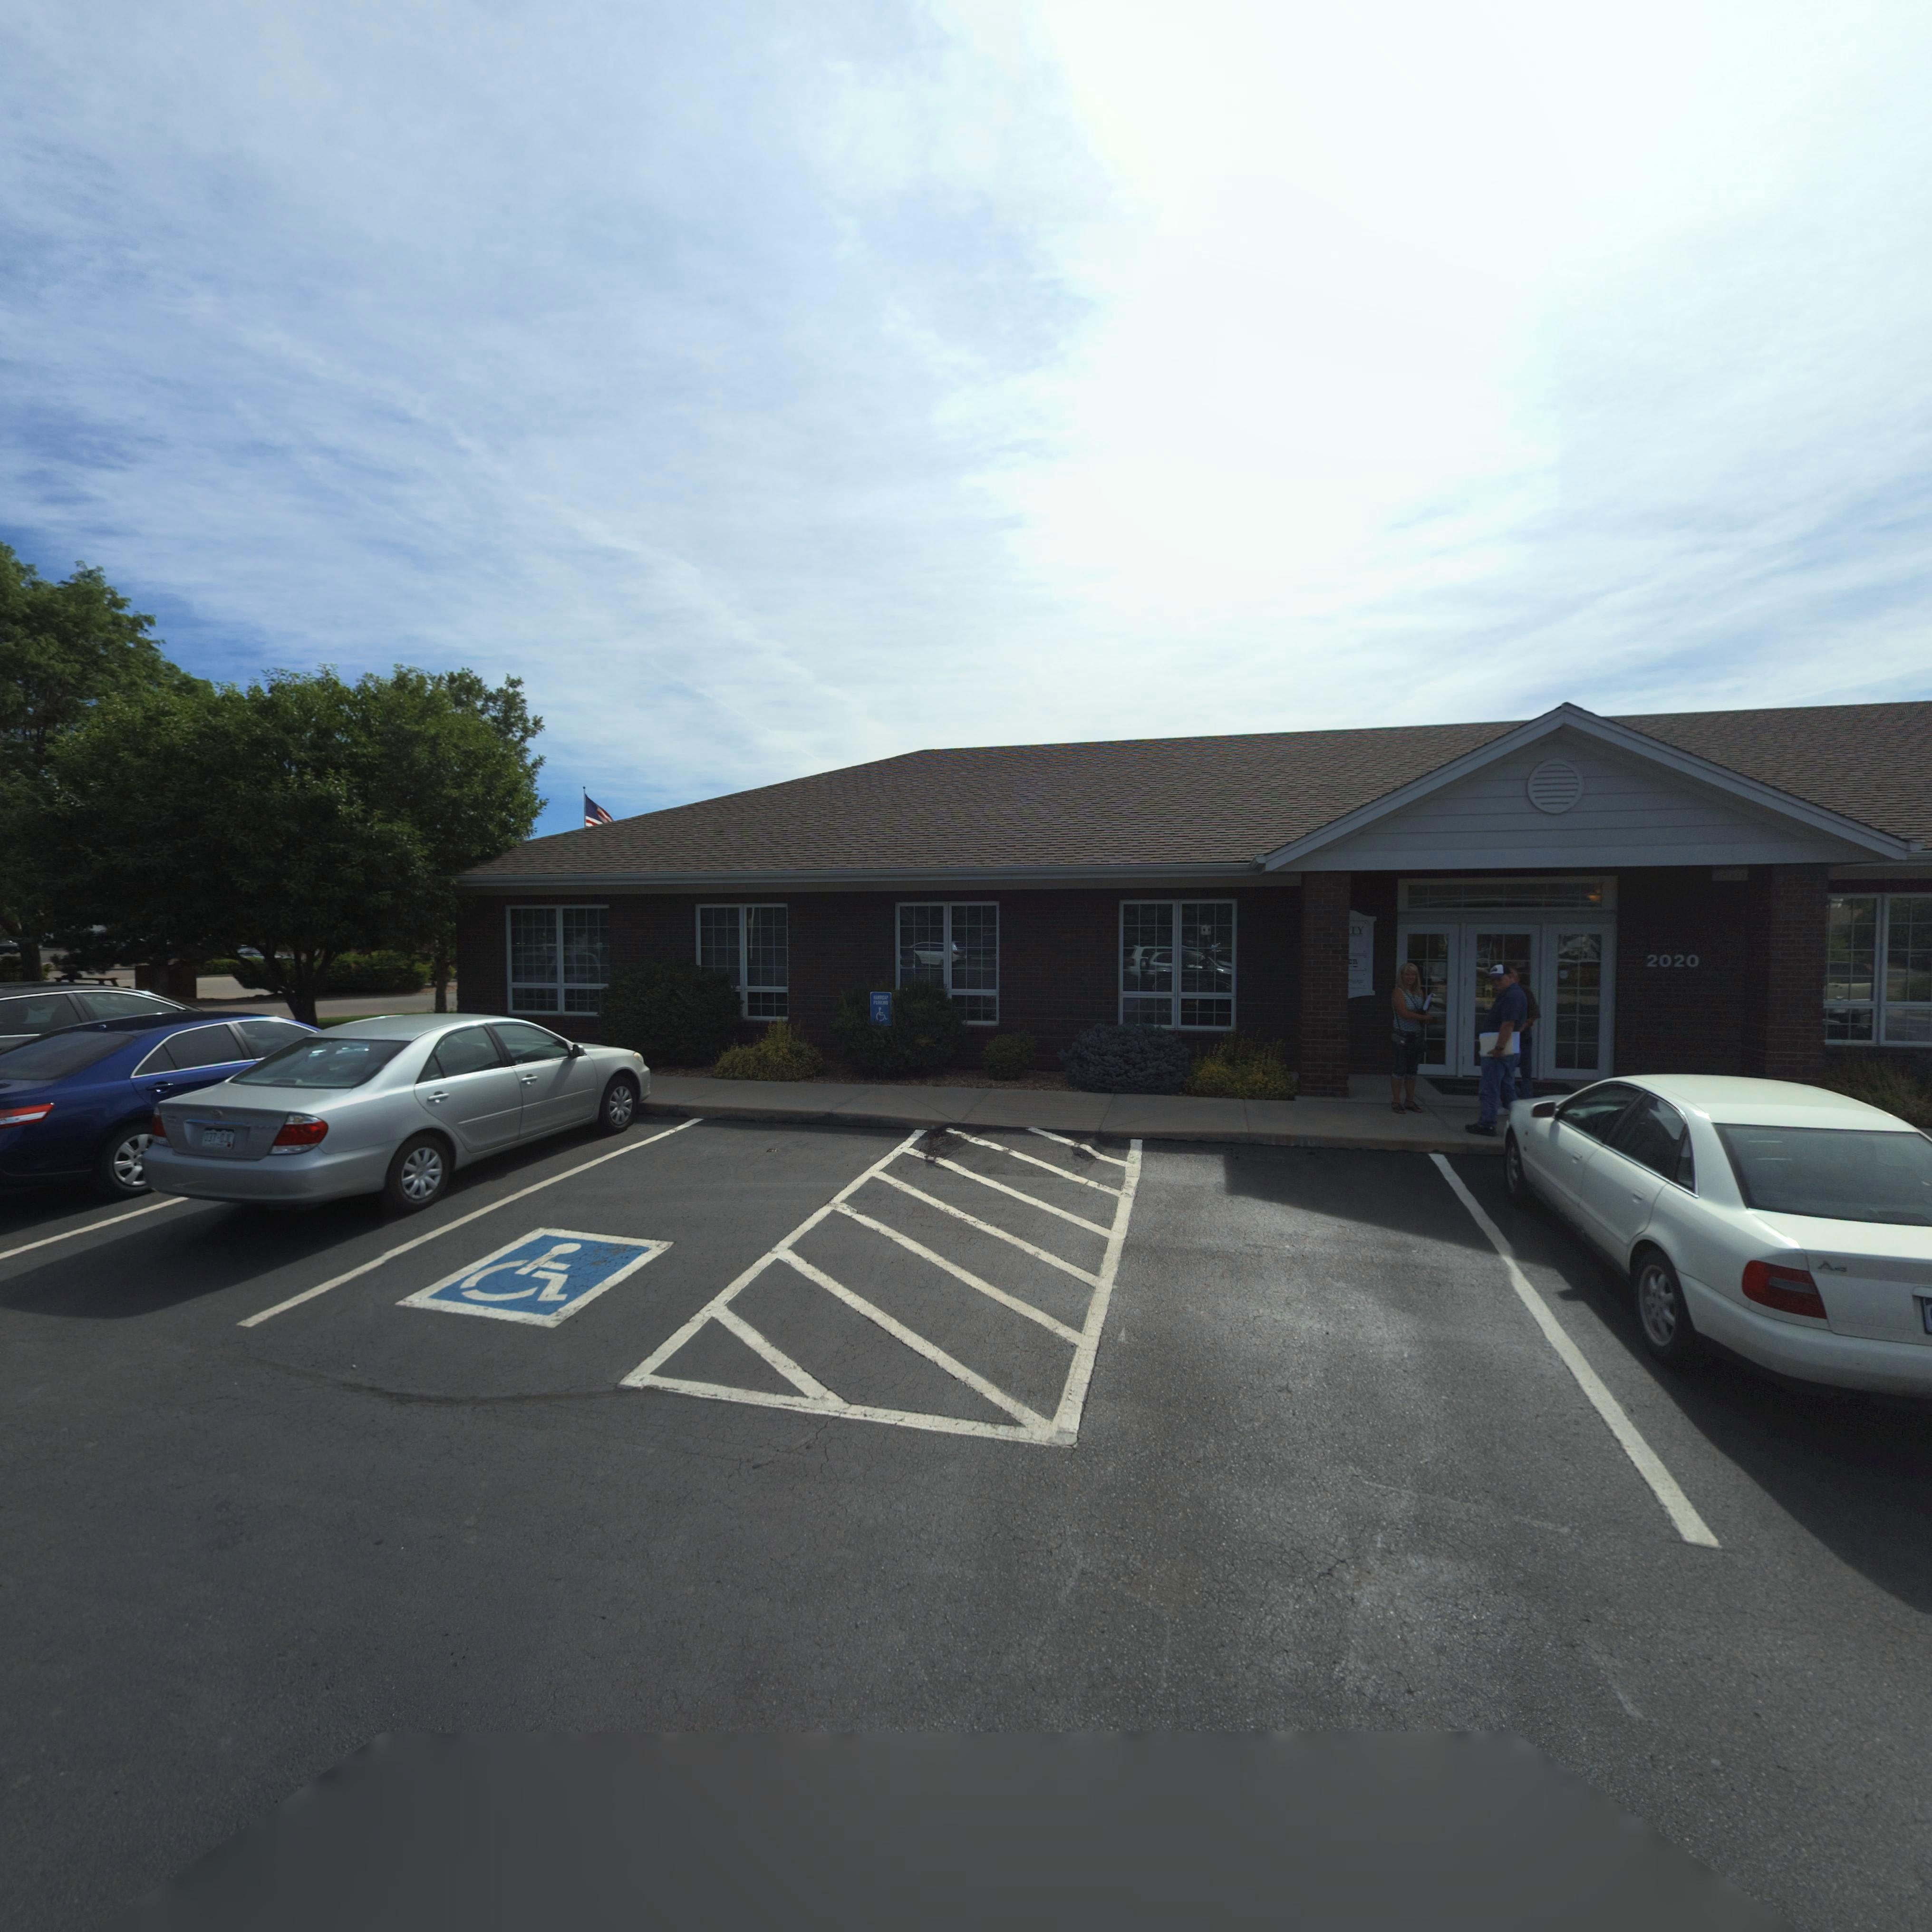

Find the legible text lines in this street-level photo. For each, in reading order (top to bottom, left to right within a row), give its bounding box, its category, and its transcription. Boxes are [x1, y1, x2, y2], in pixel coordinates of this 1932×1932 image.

[1349, 925, 1364, 935] BusinessName: TY
[1646, 954, 1700, 968] StreetNumber: 2020